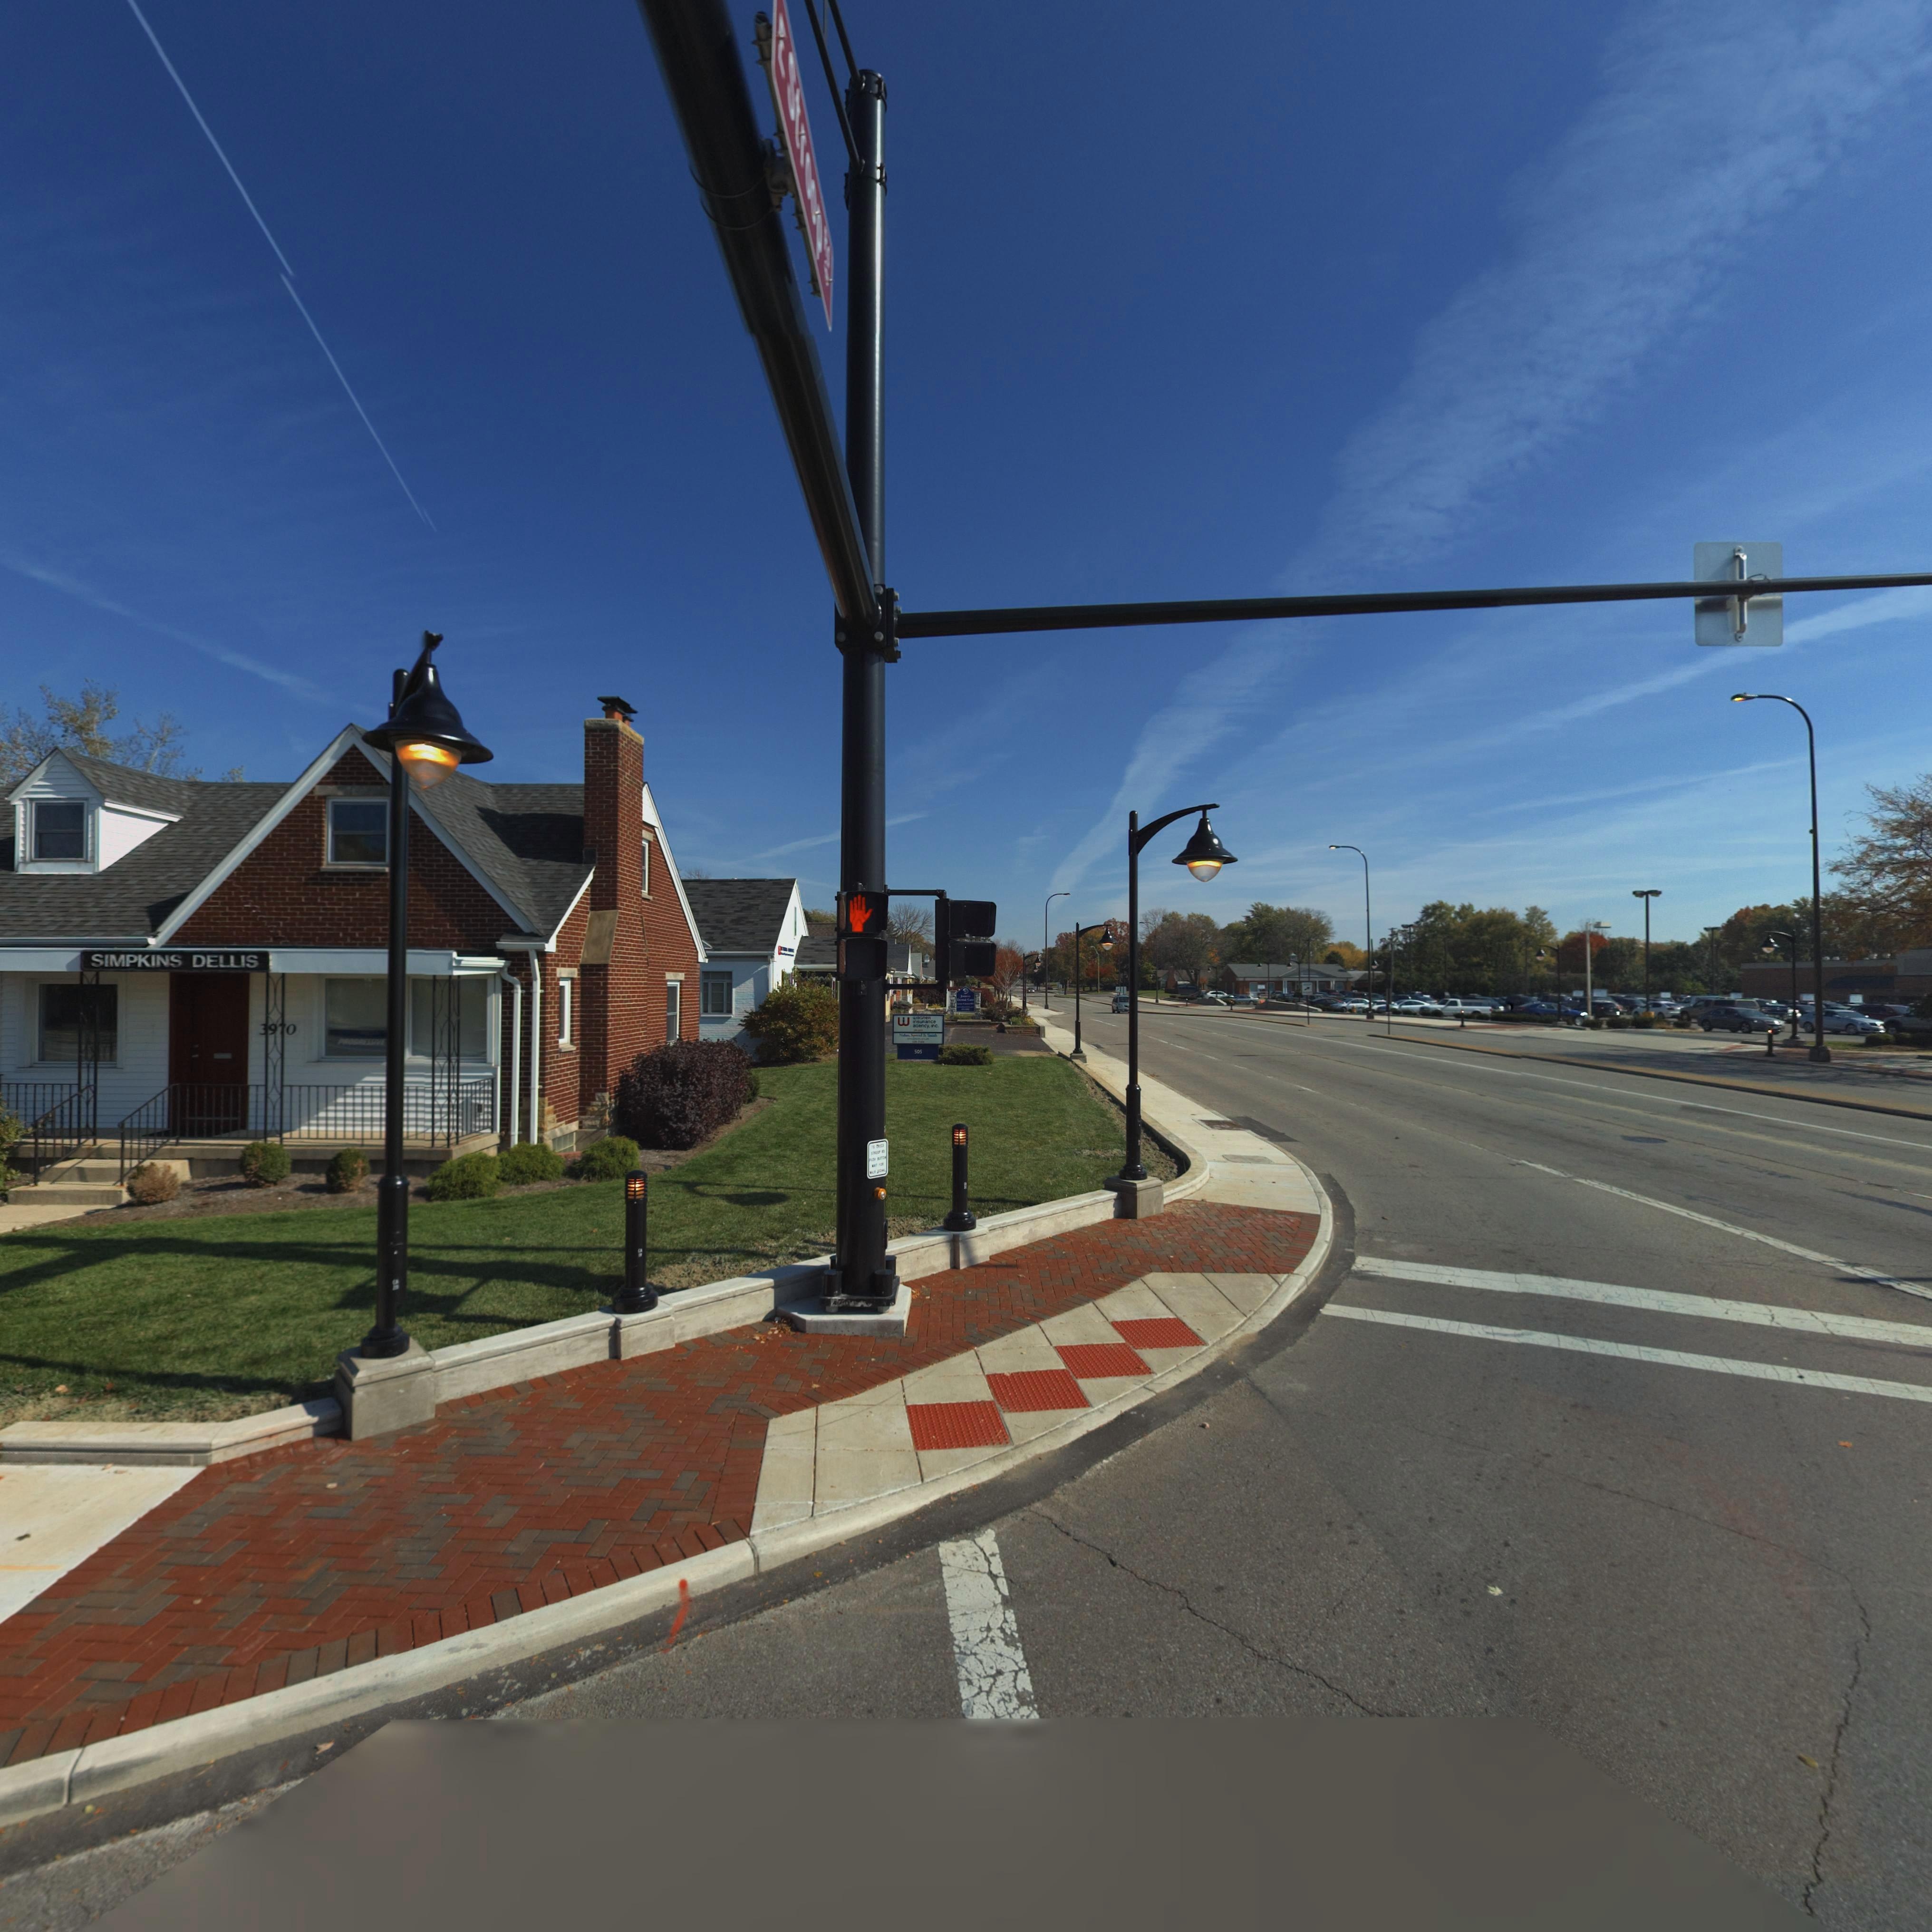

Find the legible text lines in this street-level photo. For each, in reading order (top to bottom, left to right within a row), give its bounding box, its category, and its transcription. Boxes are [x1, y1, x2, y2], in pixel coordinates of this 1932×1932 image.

[90, 953, 260, 969] None: SIMPKINS DELLIS
[912, 1016, 931, 1020] BusinessName: waGneR
[897, 1017, 910, 1026] None: w
[912, 1020, 936, 1024] BusinessName: insuRance
[912, 1024, 939, 1029] BusinessName: aGency, inc.
[258, 1023, 298, 1036] StreetNumber: 39*0
[914, 1049, 922, 1054] StreetNumber: 505